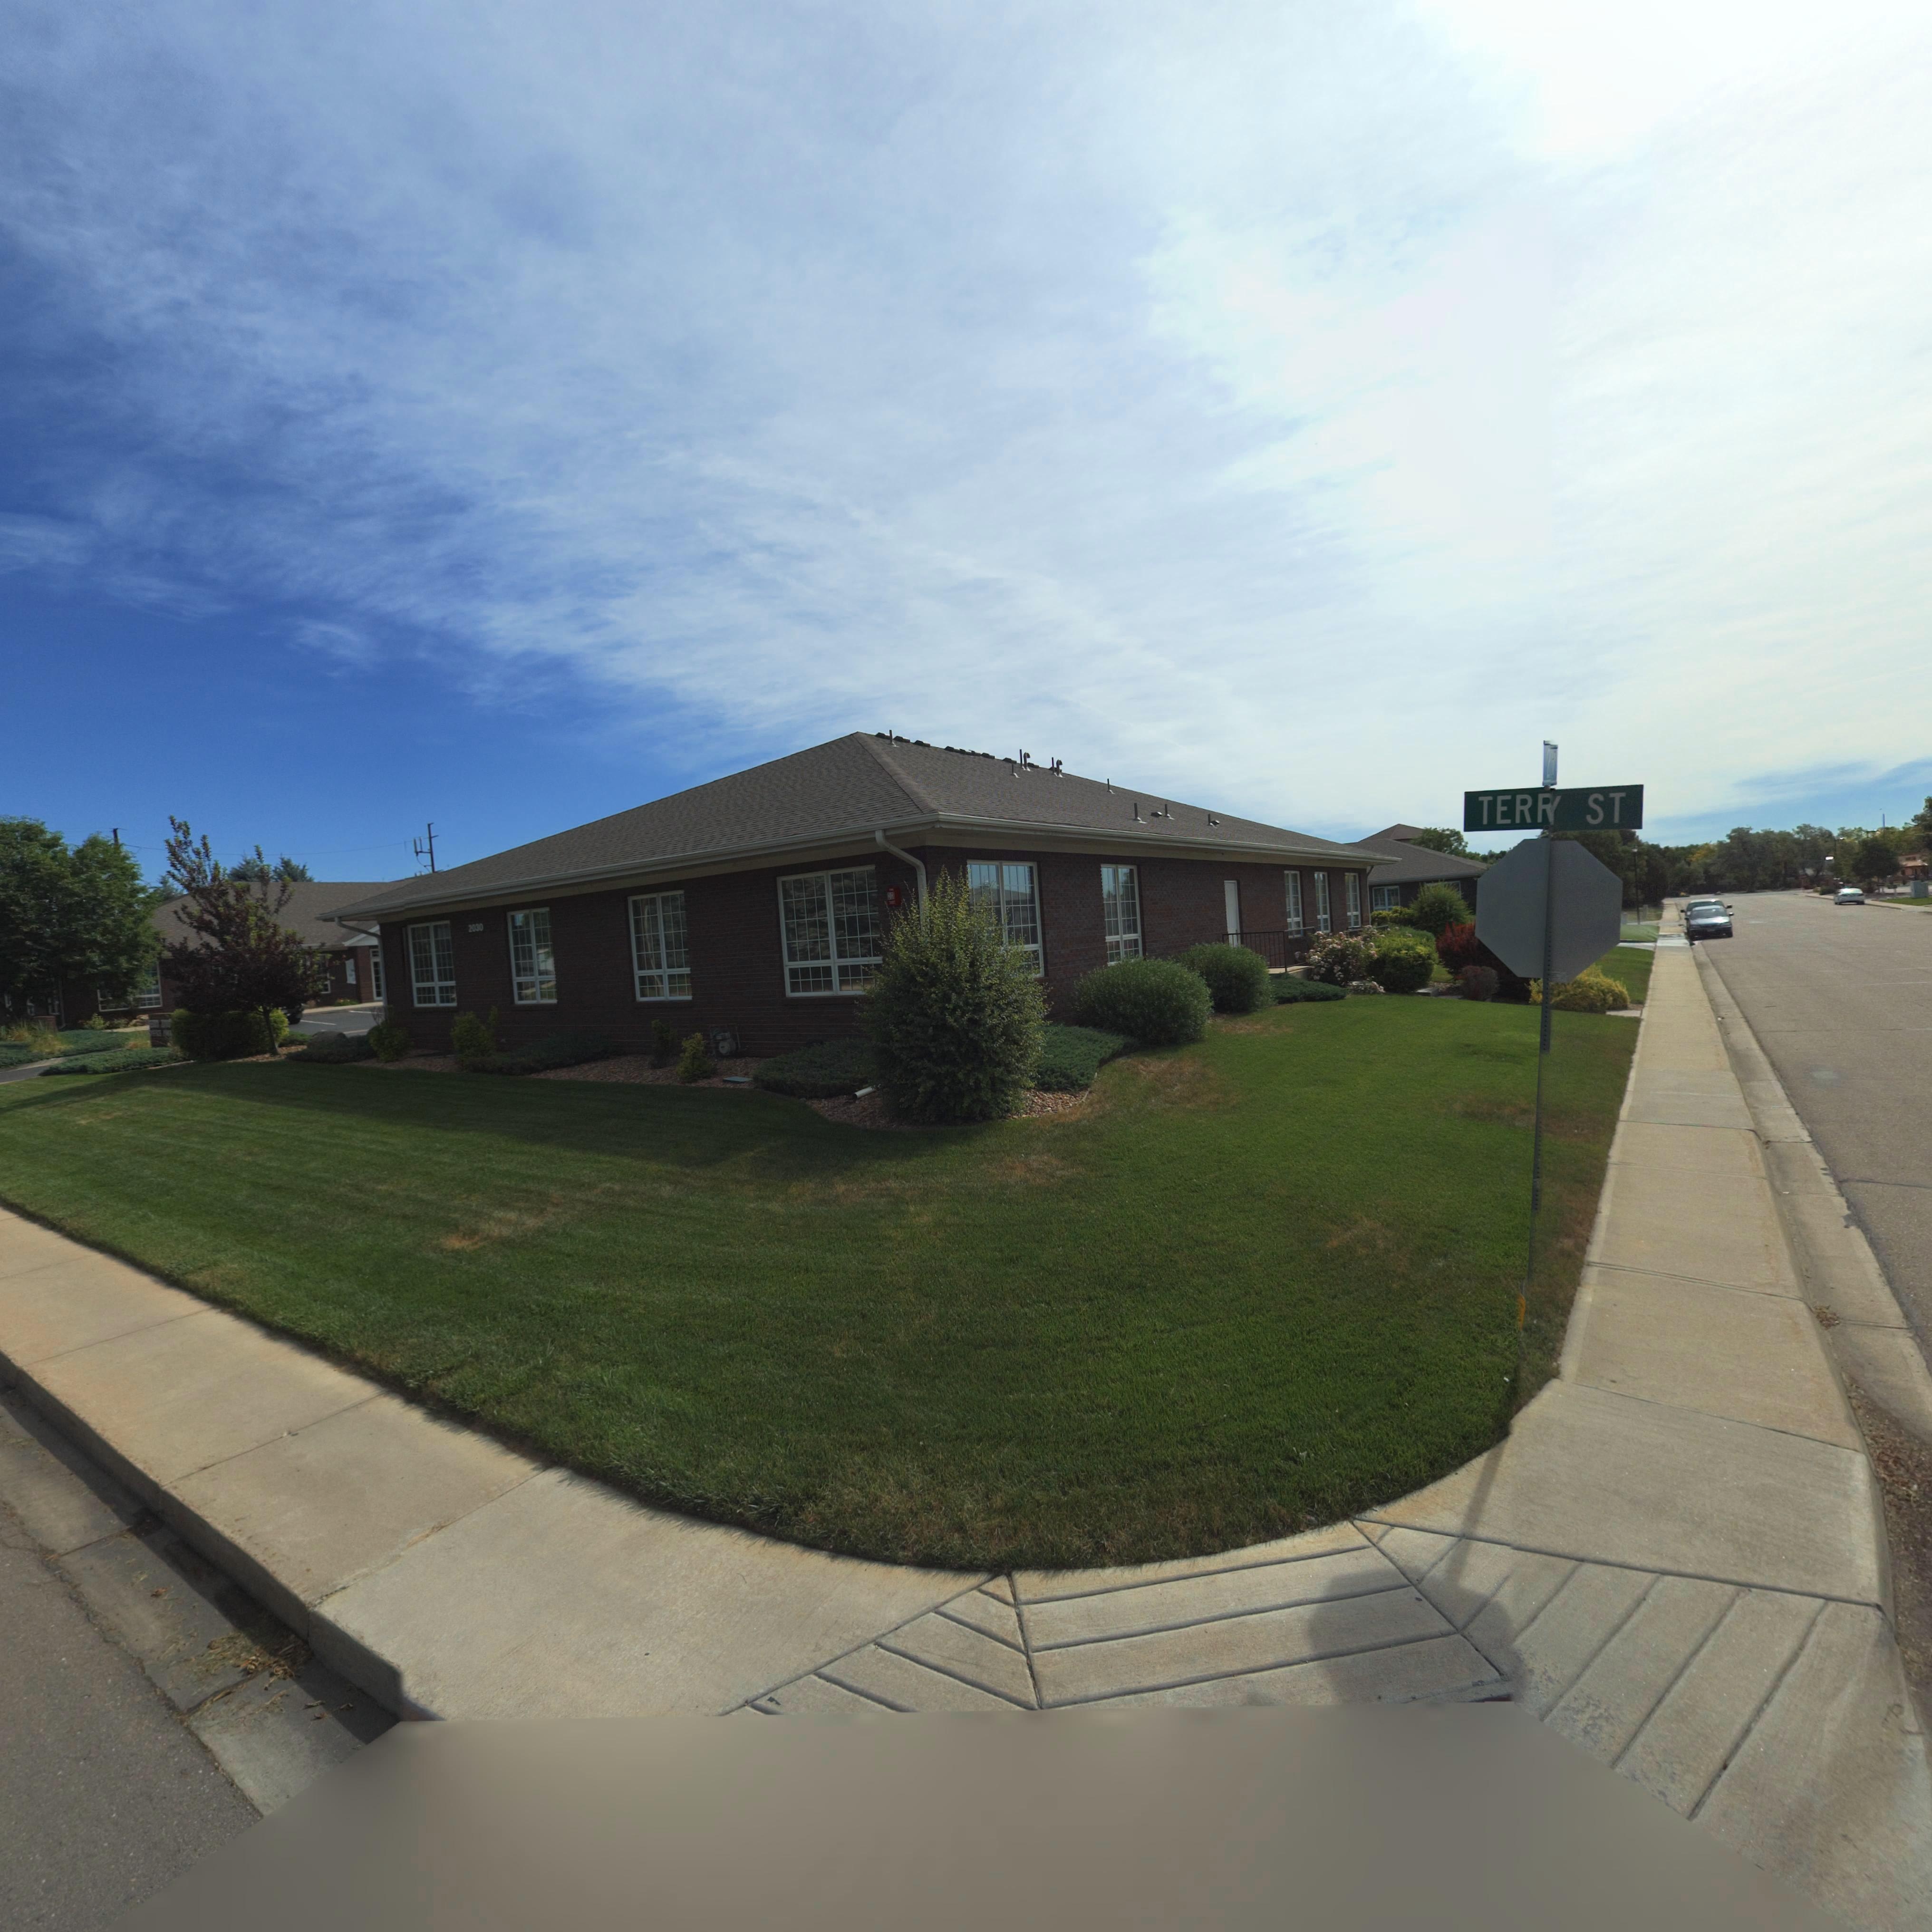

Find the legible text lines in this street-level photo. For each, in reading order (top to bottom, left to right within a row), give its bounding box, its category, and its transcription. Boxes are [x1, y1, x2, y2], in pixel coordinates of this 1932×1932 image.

[1546, 746, 1551, 779] StreetName: 2
[1478, 791, 1626, 826] StreetName: TER* ST
[468, 923, 483, 932] StreetNumber: 2030